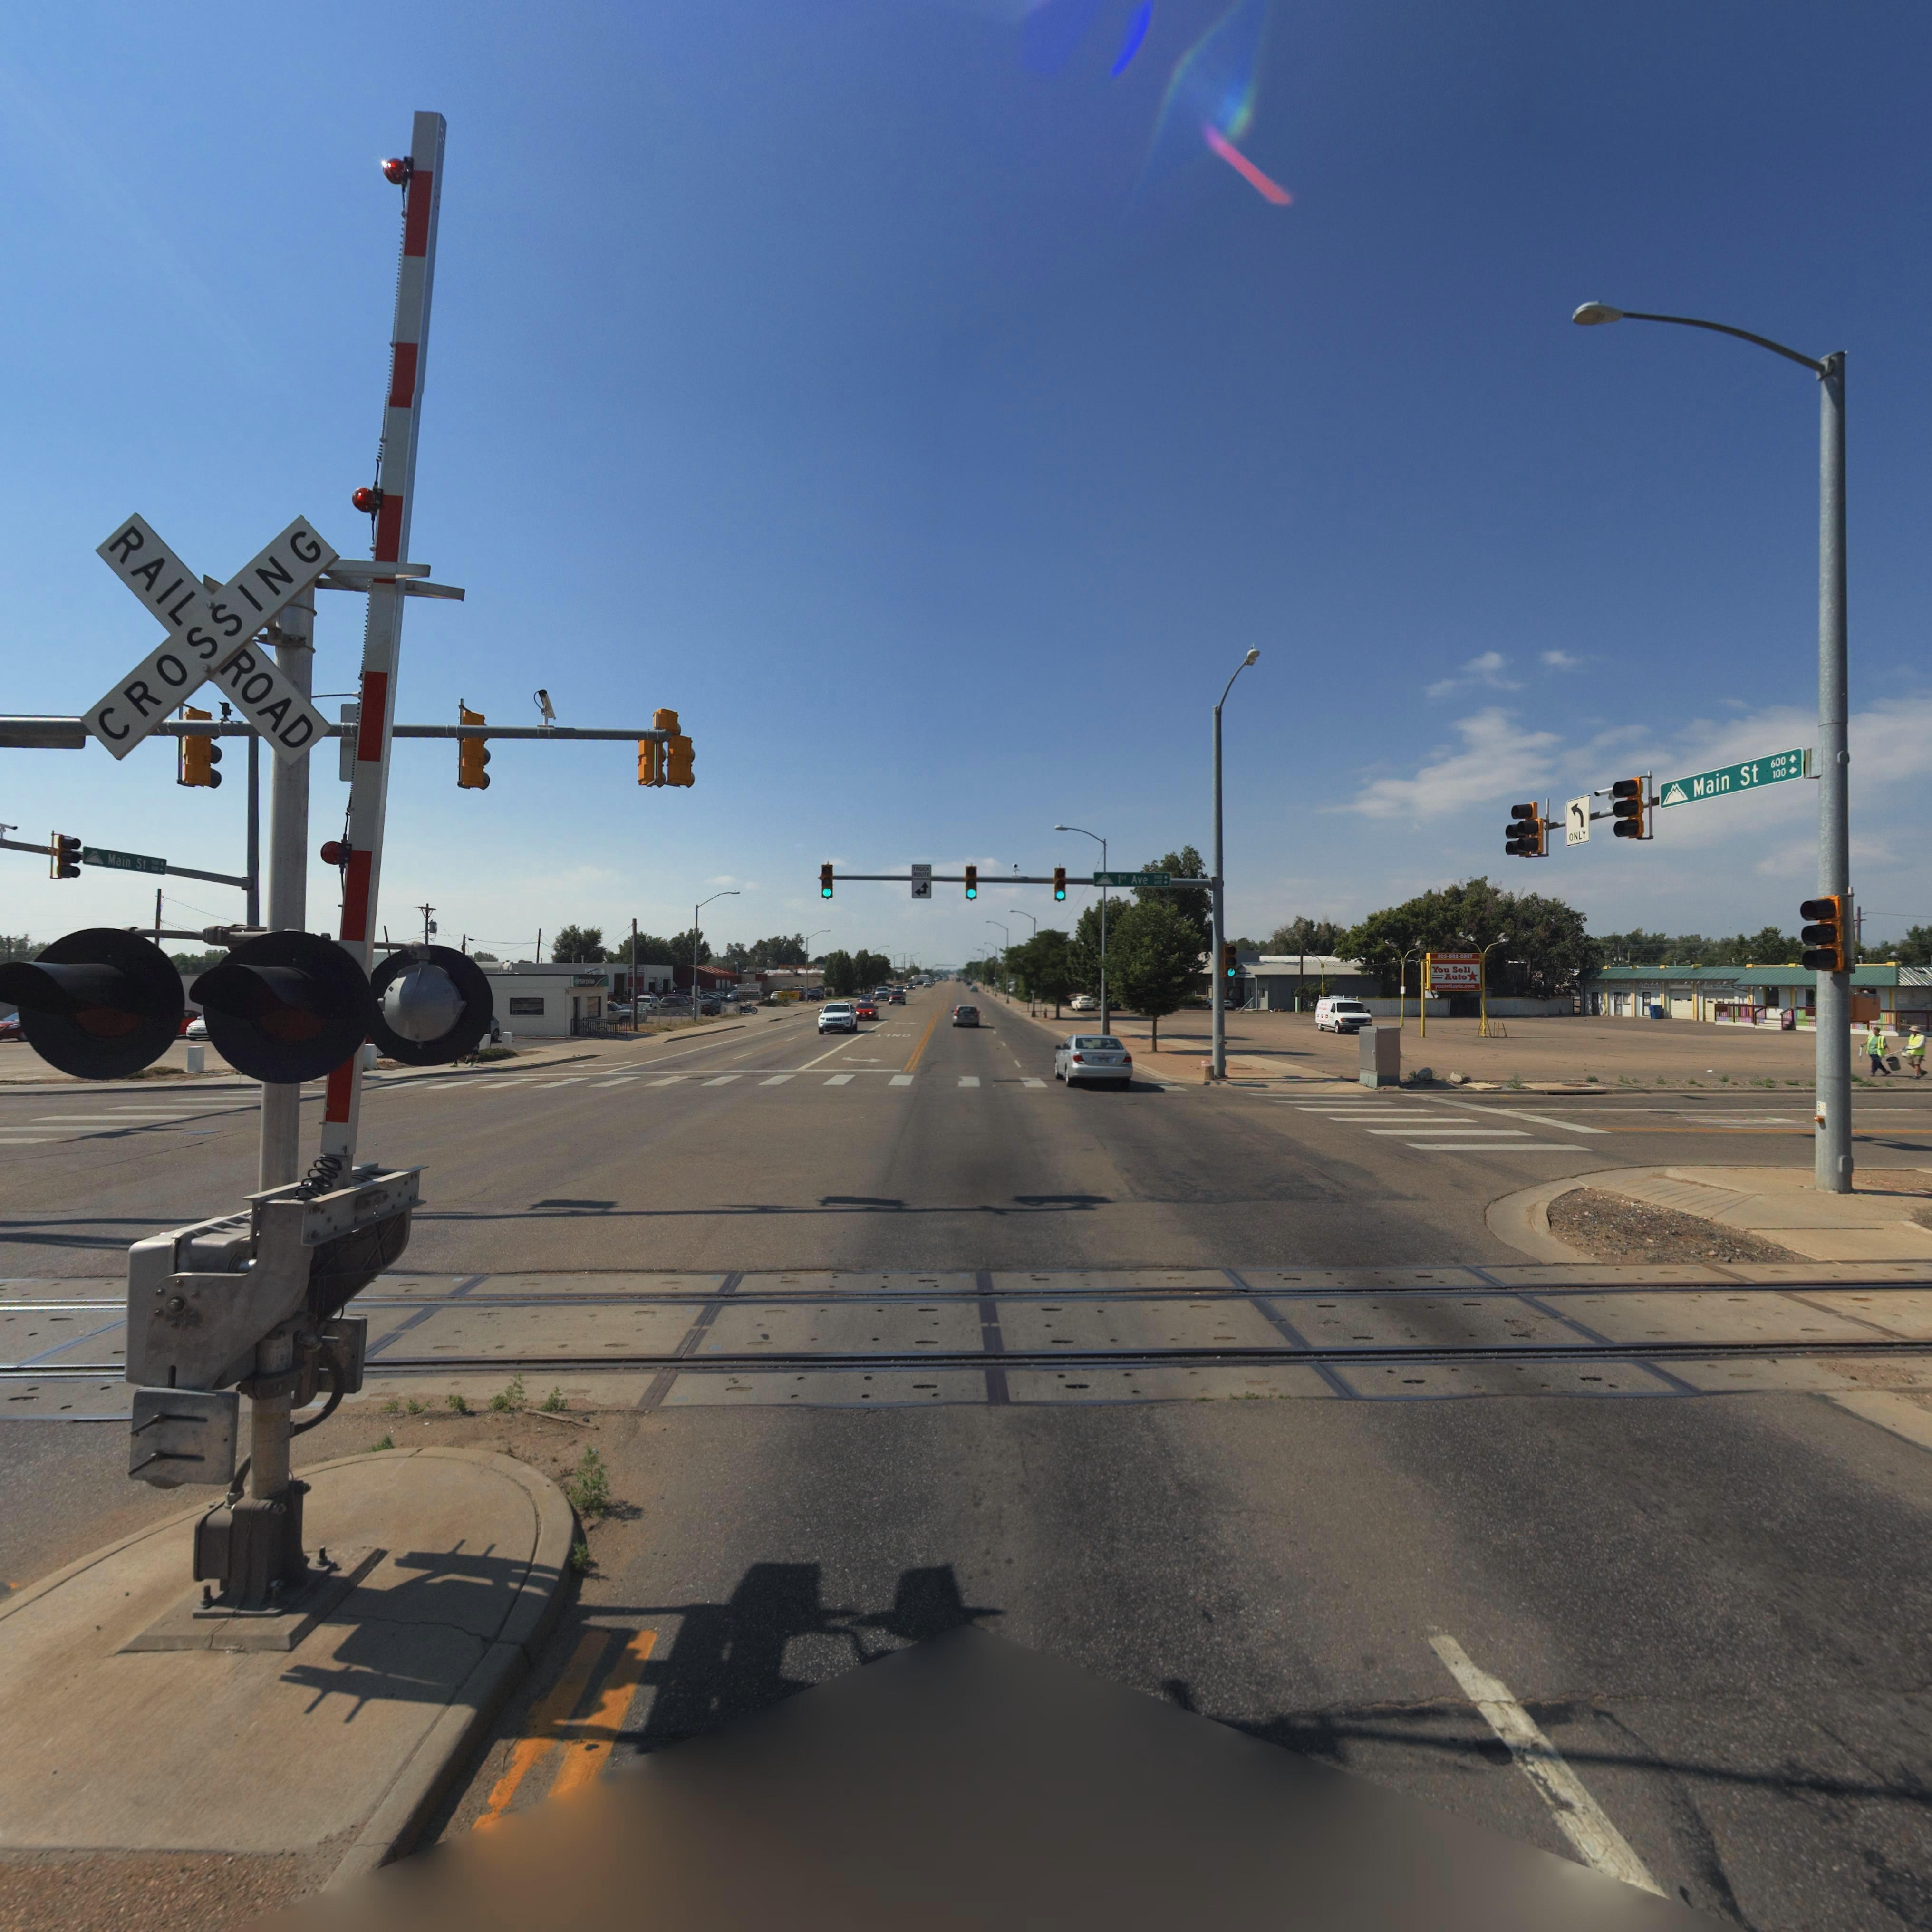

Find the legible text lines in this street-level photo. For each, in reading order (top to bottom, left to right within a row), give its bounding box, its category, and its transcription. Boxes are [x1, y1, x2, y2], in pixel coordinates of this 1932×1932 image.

[1770, 755, 1786, 768] StreetNumberRange: 600
[1772, 764, 1797, 779] StreetNumberRange: 100 ->
[1693, 762, 1759, 798] StreetName: Main St
[107, 852, 146, 870] StreetName: Main St
[1118, 874, 1148, 885] StreetName: 1st Ave
[1154, 874, 1162, 879] StreetNumberRange: *00
[1153, 879, 1168, 884] StreetNumberRange: **0 ->
[1431, 966, 1470, 973] BusinessName: You Sell
[1443, 973, 1467, 980] BusinessName: Auto
[573, 977, 595, 985] BusinessName: *****prise
[780, 993, 795, 998] BusinessName: H**tz